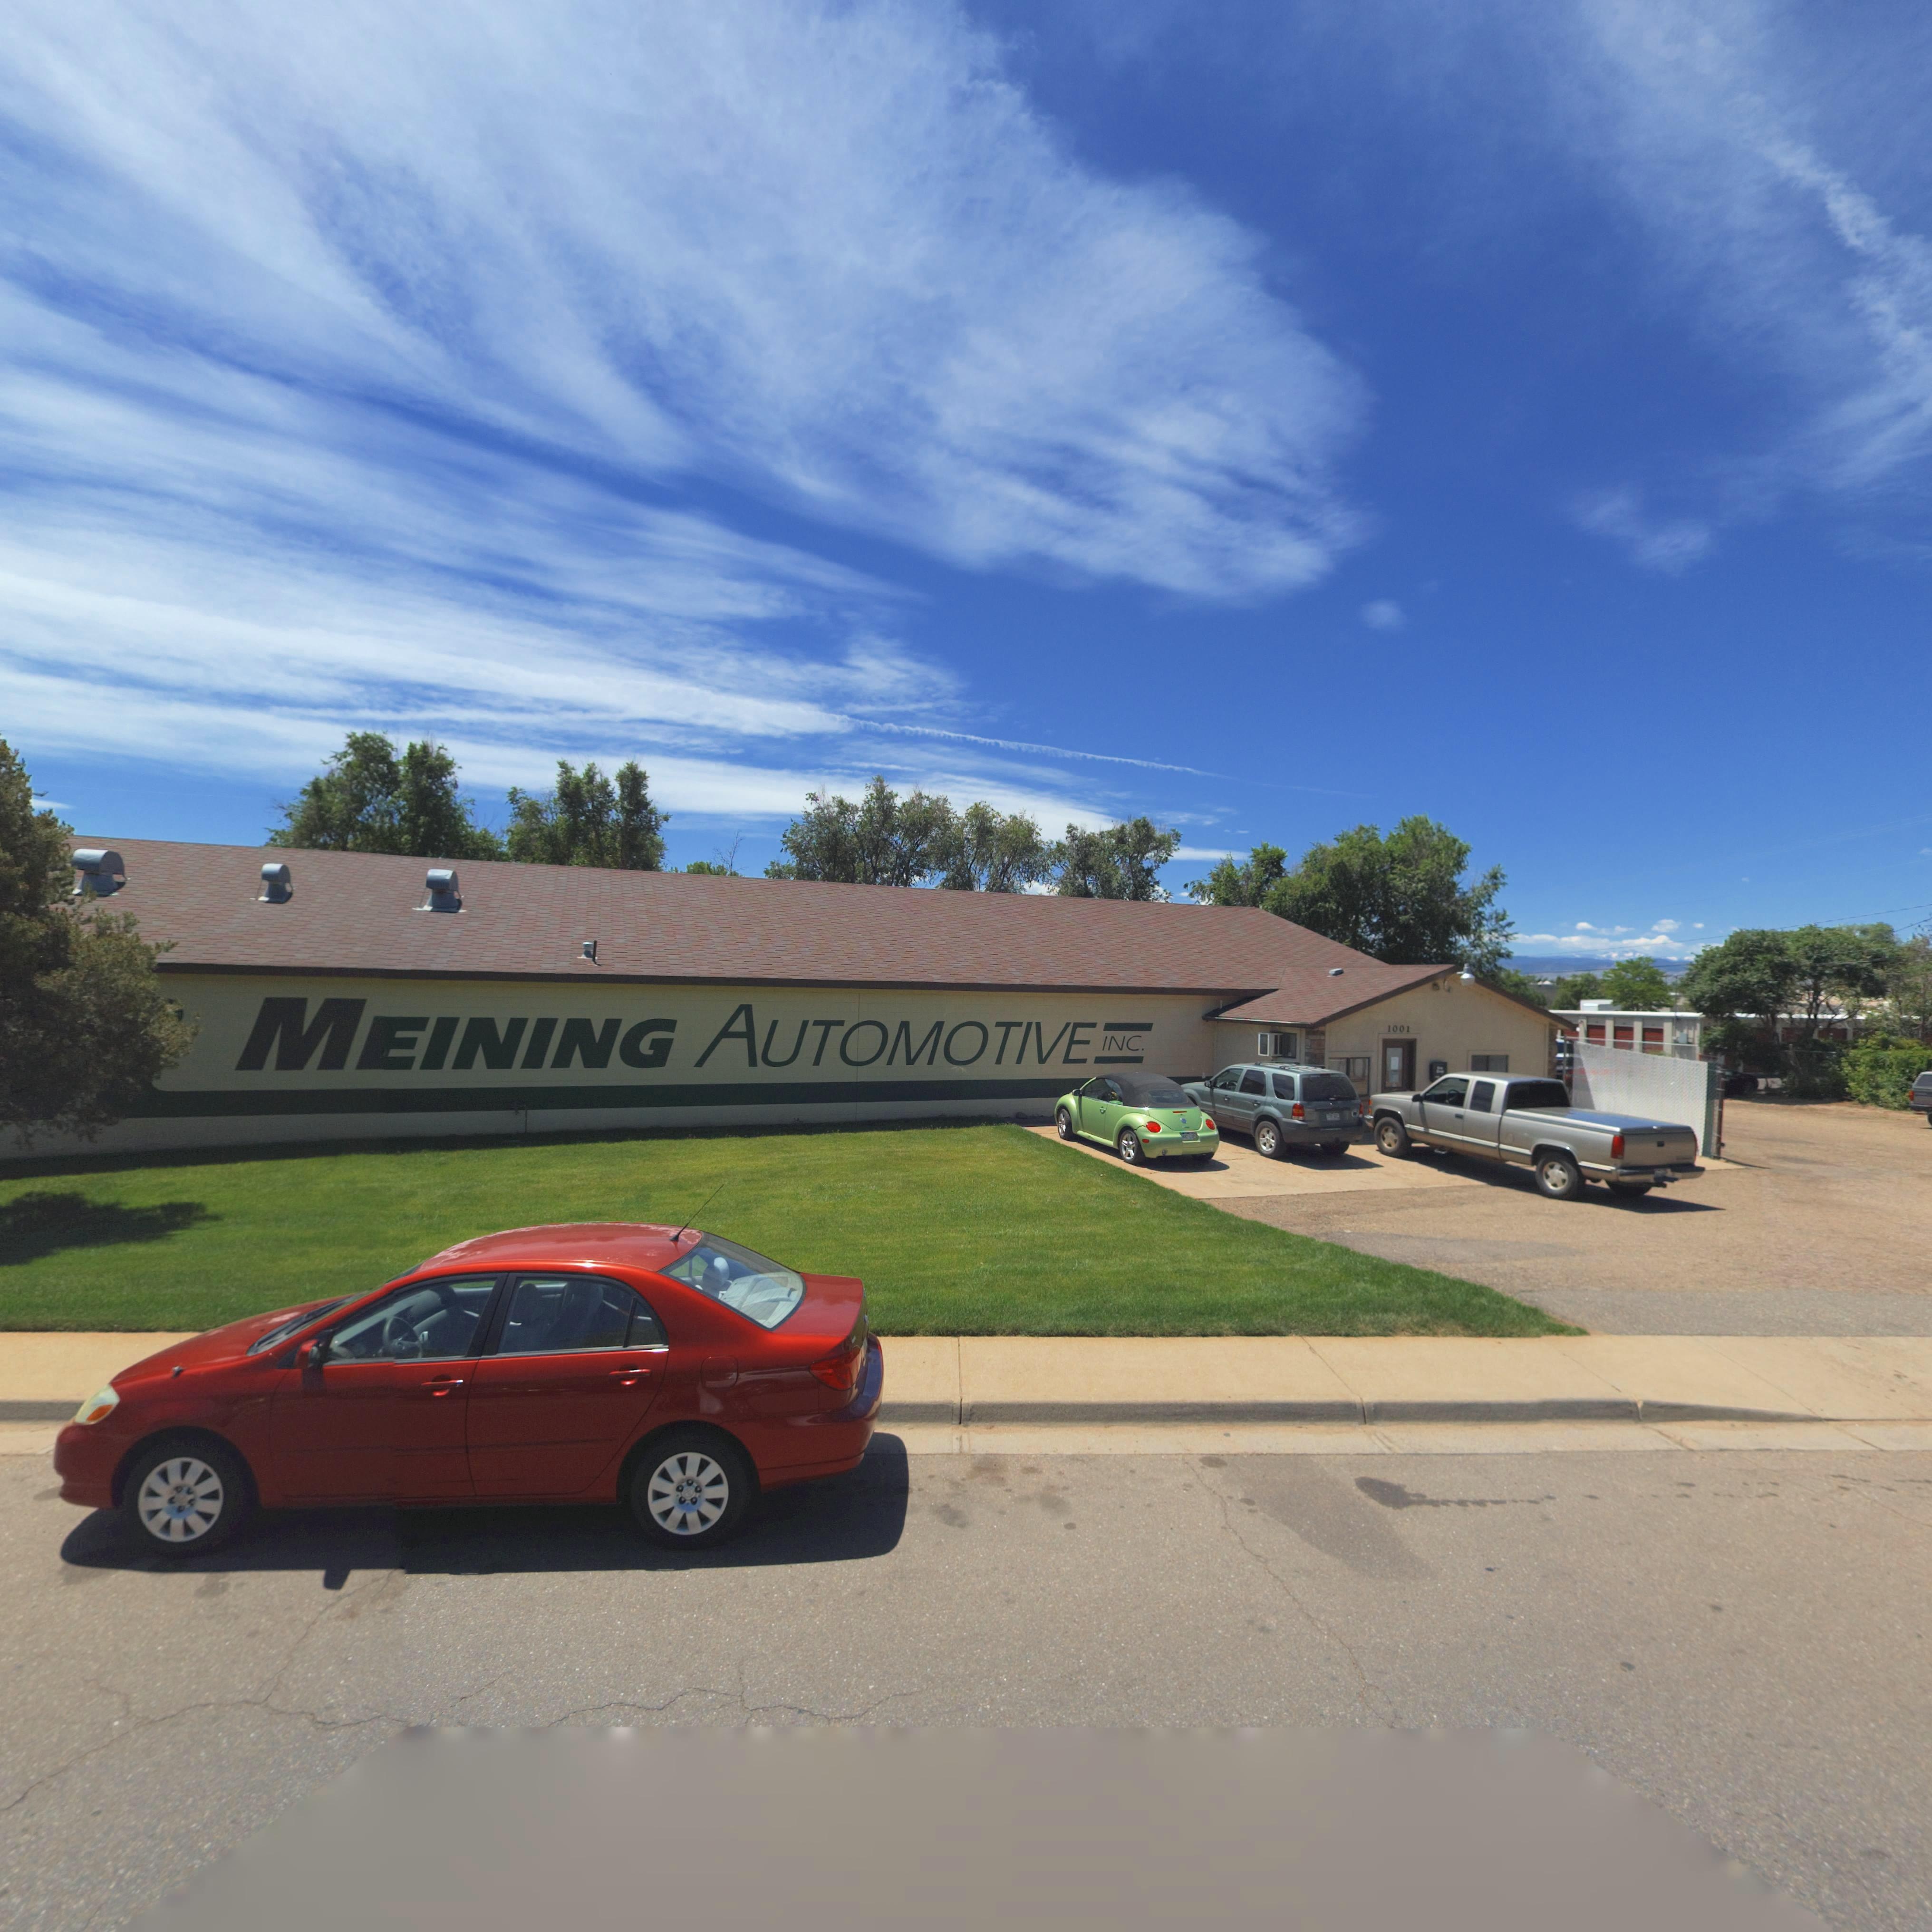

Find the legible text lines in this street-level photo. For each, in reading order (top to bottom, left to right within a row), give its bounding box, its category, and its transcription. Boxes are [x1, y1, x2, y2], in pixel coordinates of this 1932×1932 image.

[233, 995, 1146, 1072] BusinessName: MEINING AUTOMOTIVE INC.
[1387, 1024, 1410, 1033] StreetNumber: 1001